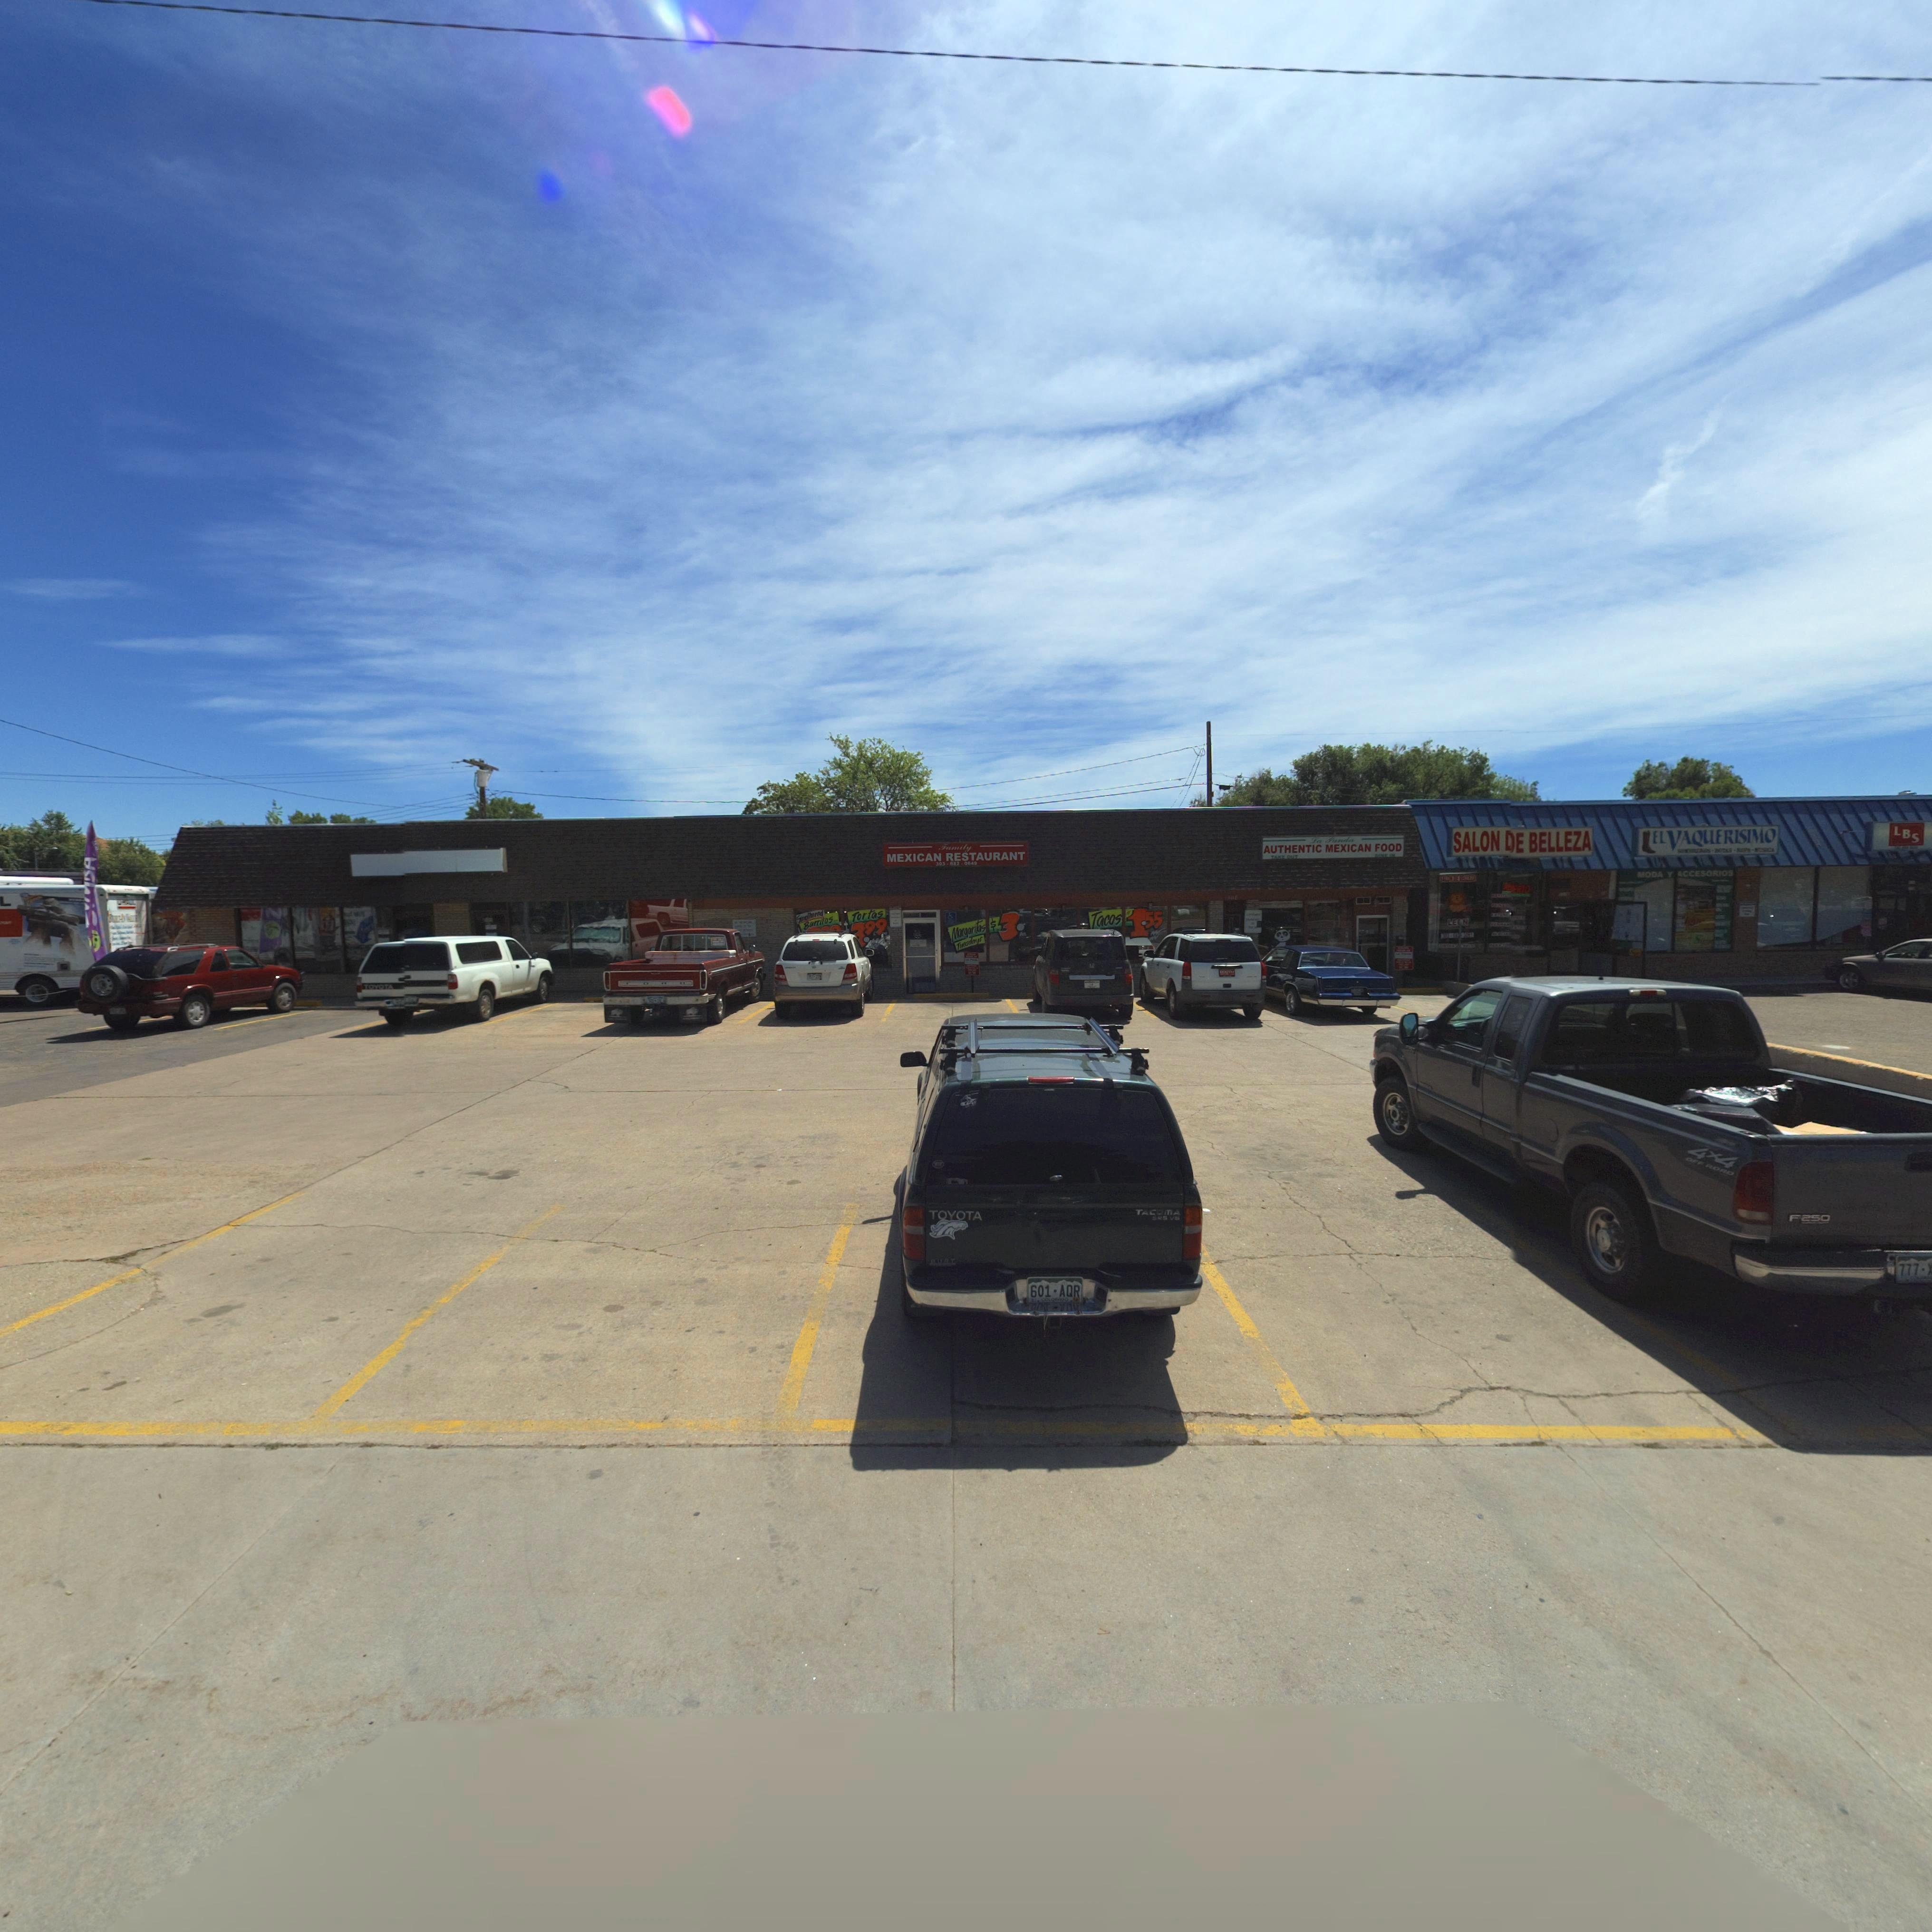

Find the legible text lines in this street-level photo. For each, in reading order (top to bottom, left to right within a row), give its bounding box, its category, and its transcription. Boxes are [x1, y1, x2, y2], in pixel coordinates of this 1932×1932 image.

[937, 843, 972, 852] BusinessName: Family
[1311, 836, 1354, 843] BusinessName: La Panda
[1263, 842, 1402, 854] BusinessName: AUTHENTIC MEXICAN FOOD
[1452, 831, 1592, 854] BusinessName: SALON DE BELLEZA
[1652, 827, 1777, 852] BusinessName: ELVAQUERISIMO
[1893, 825, 1920, 843] BusinessName: LBS
[887, 851, 1025, 862] BusinessName: MEXICAN RESTAURANT
[1228, 895, 1237, 900] StreetNumber: 111*